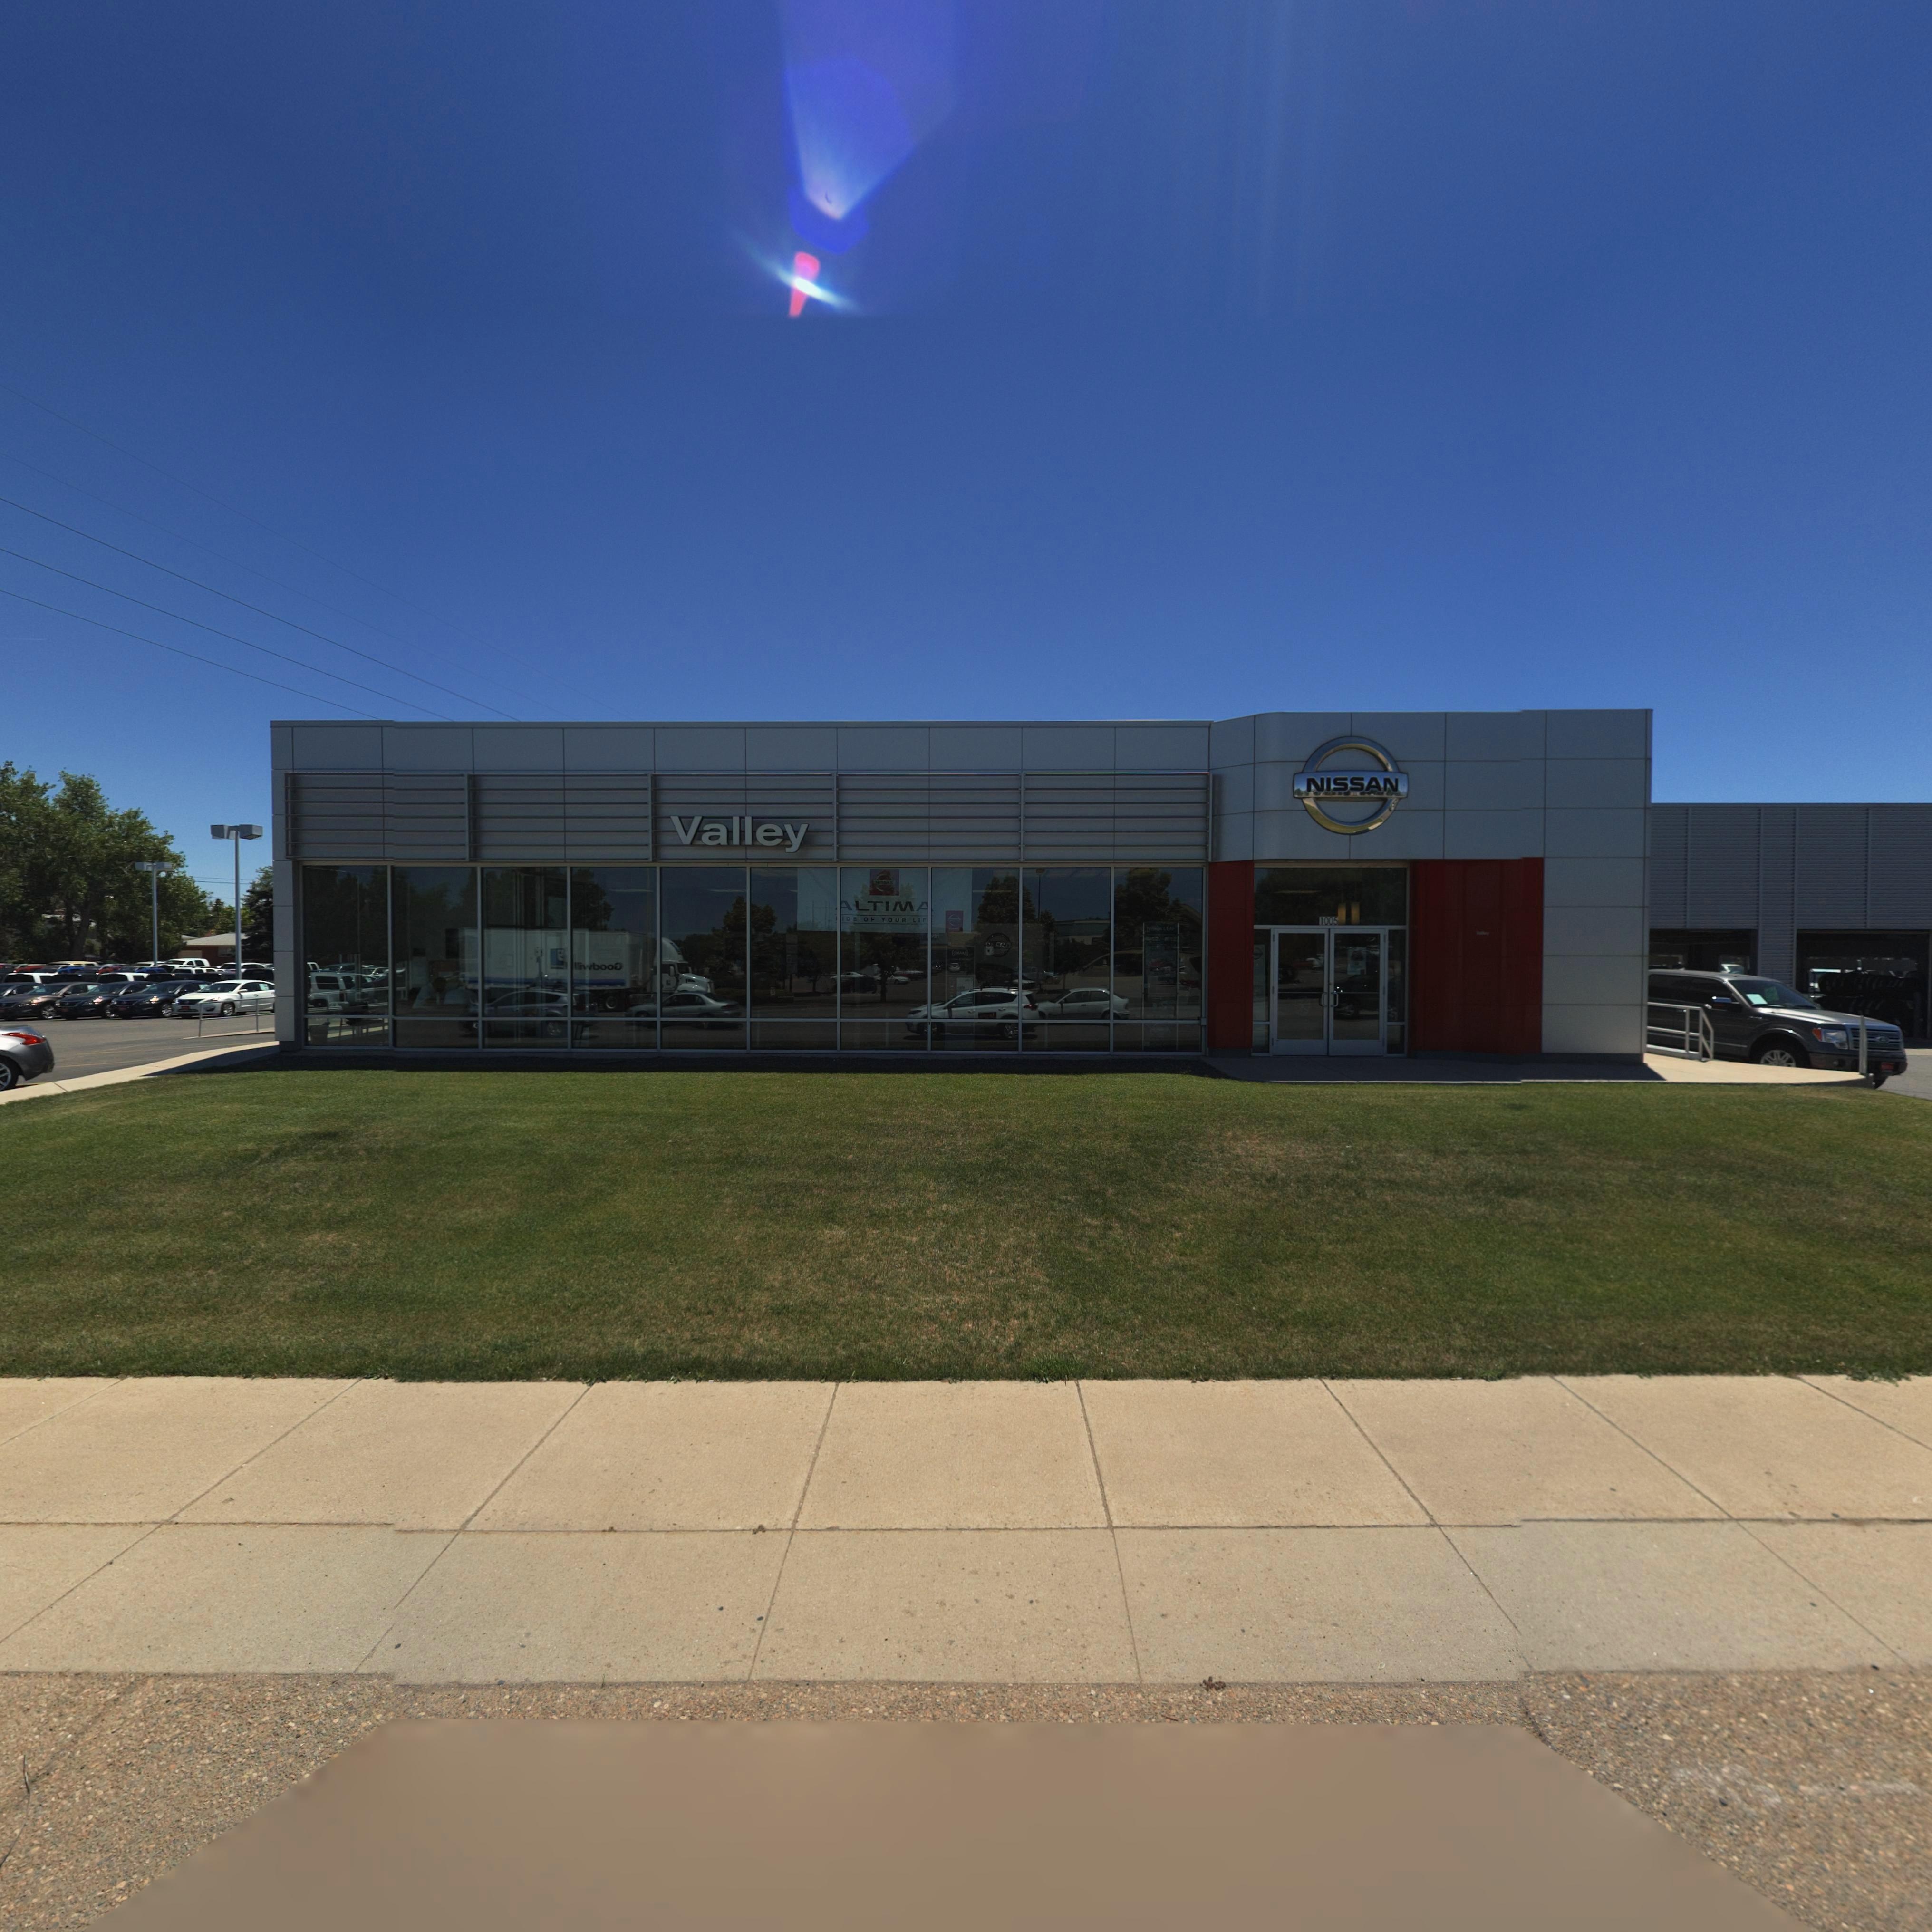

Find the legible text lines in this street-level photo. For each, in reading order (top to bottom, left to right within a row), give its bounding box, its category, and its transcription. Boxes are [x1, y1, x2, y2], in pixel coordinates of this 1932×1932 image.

[1306, 776, 1399, 792] BusinessName: NISSAN
[668, 815, 810, 853] BusinessName: Valley
[875, 880, 893, 884] BusinessName: NISSAN
[1320, 917, 1338, 925] StreetNumber: 1005